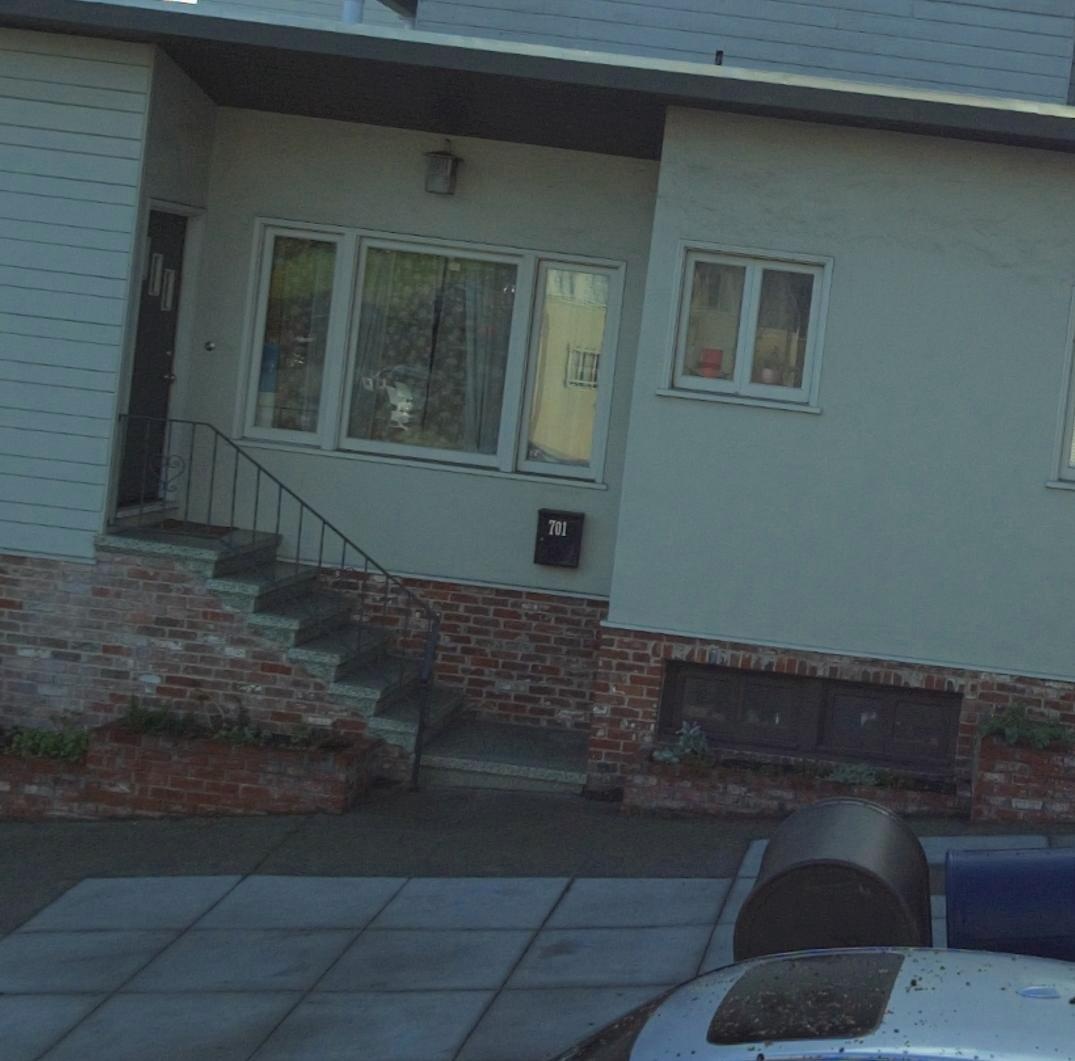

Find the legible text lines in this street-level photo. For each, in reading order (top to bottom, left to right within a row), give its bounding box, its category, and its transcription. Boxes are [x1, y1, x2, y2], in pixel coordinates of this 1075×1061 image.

[545, 518, 568, 537] StreetNumber: 701